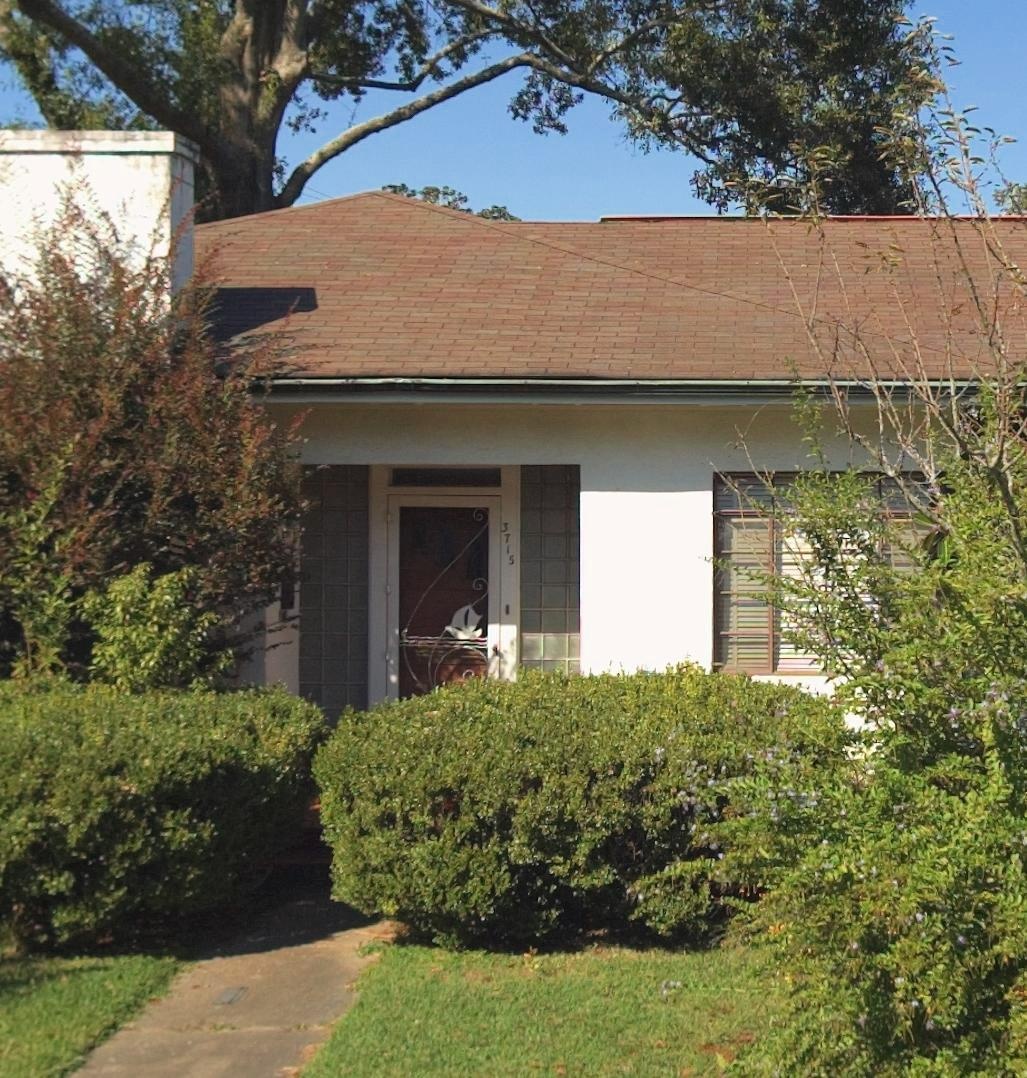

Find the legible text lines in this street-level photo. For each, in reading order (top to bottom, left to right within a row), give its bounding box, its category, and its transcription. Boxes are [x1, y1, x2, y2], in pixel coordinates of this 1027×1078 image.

[499, 521, 516, 567] StreetNumber: 3715